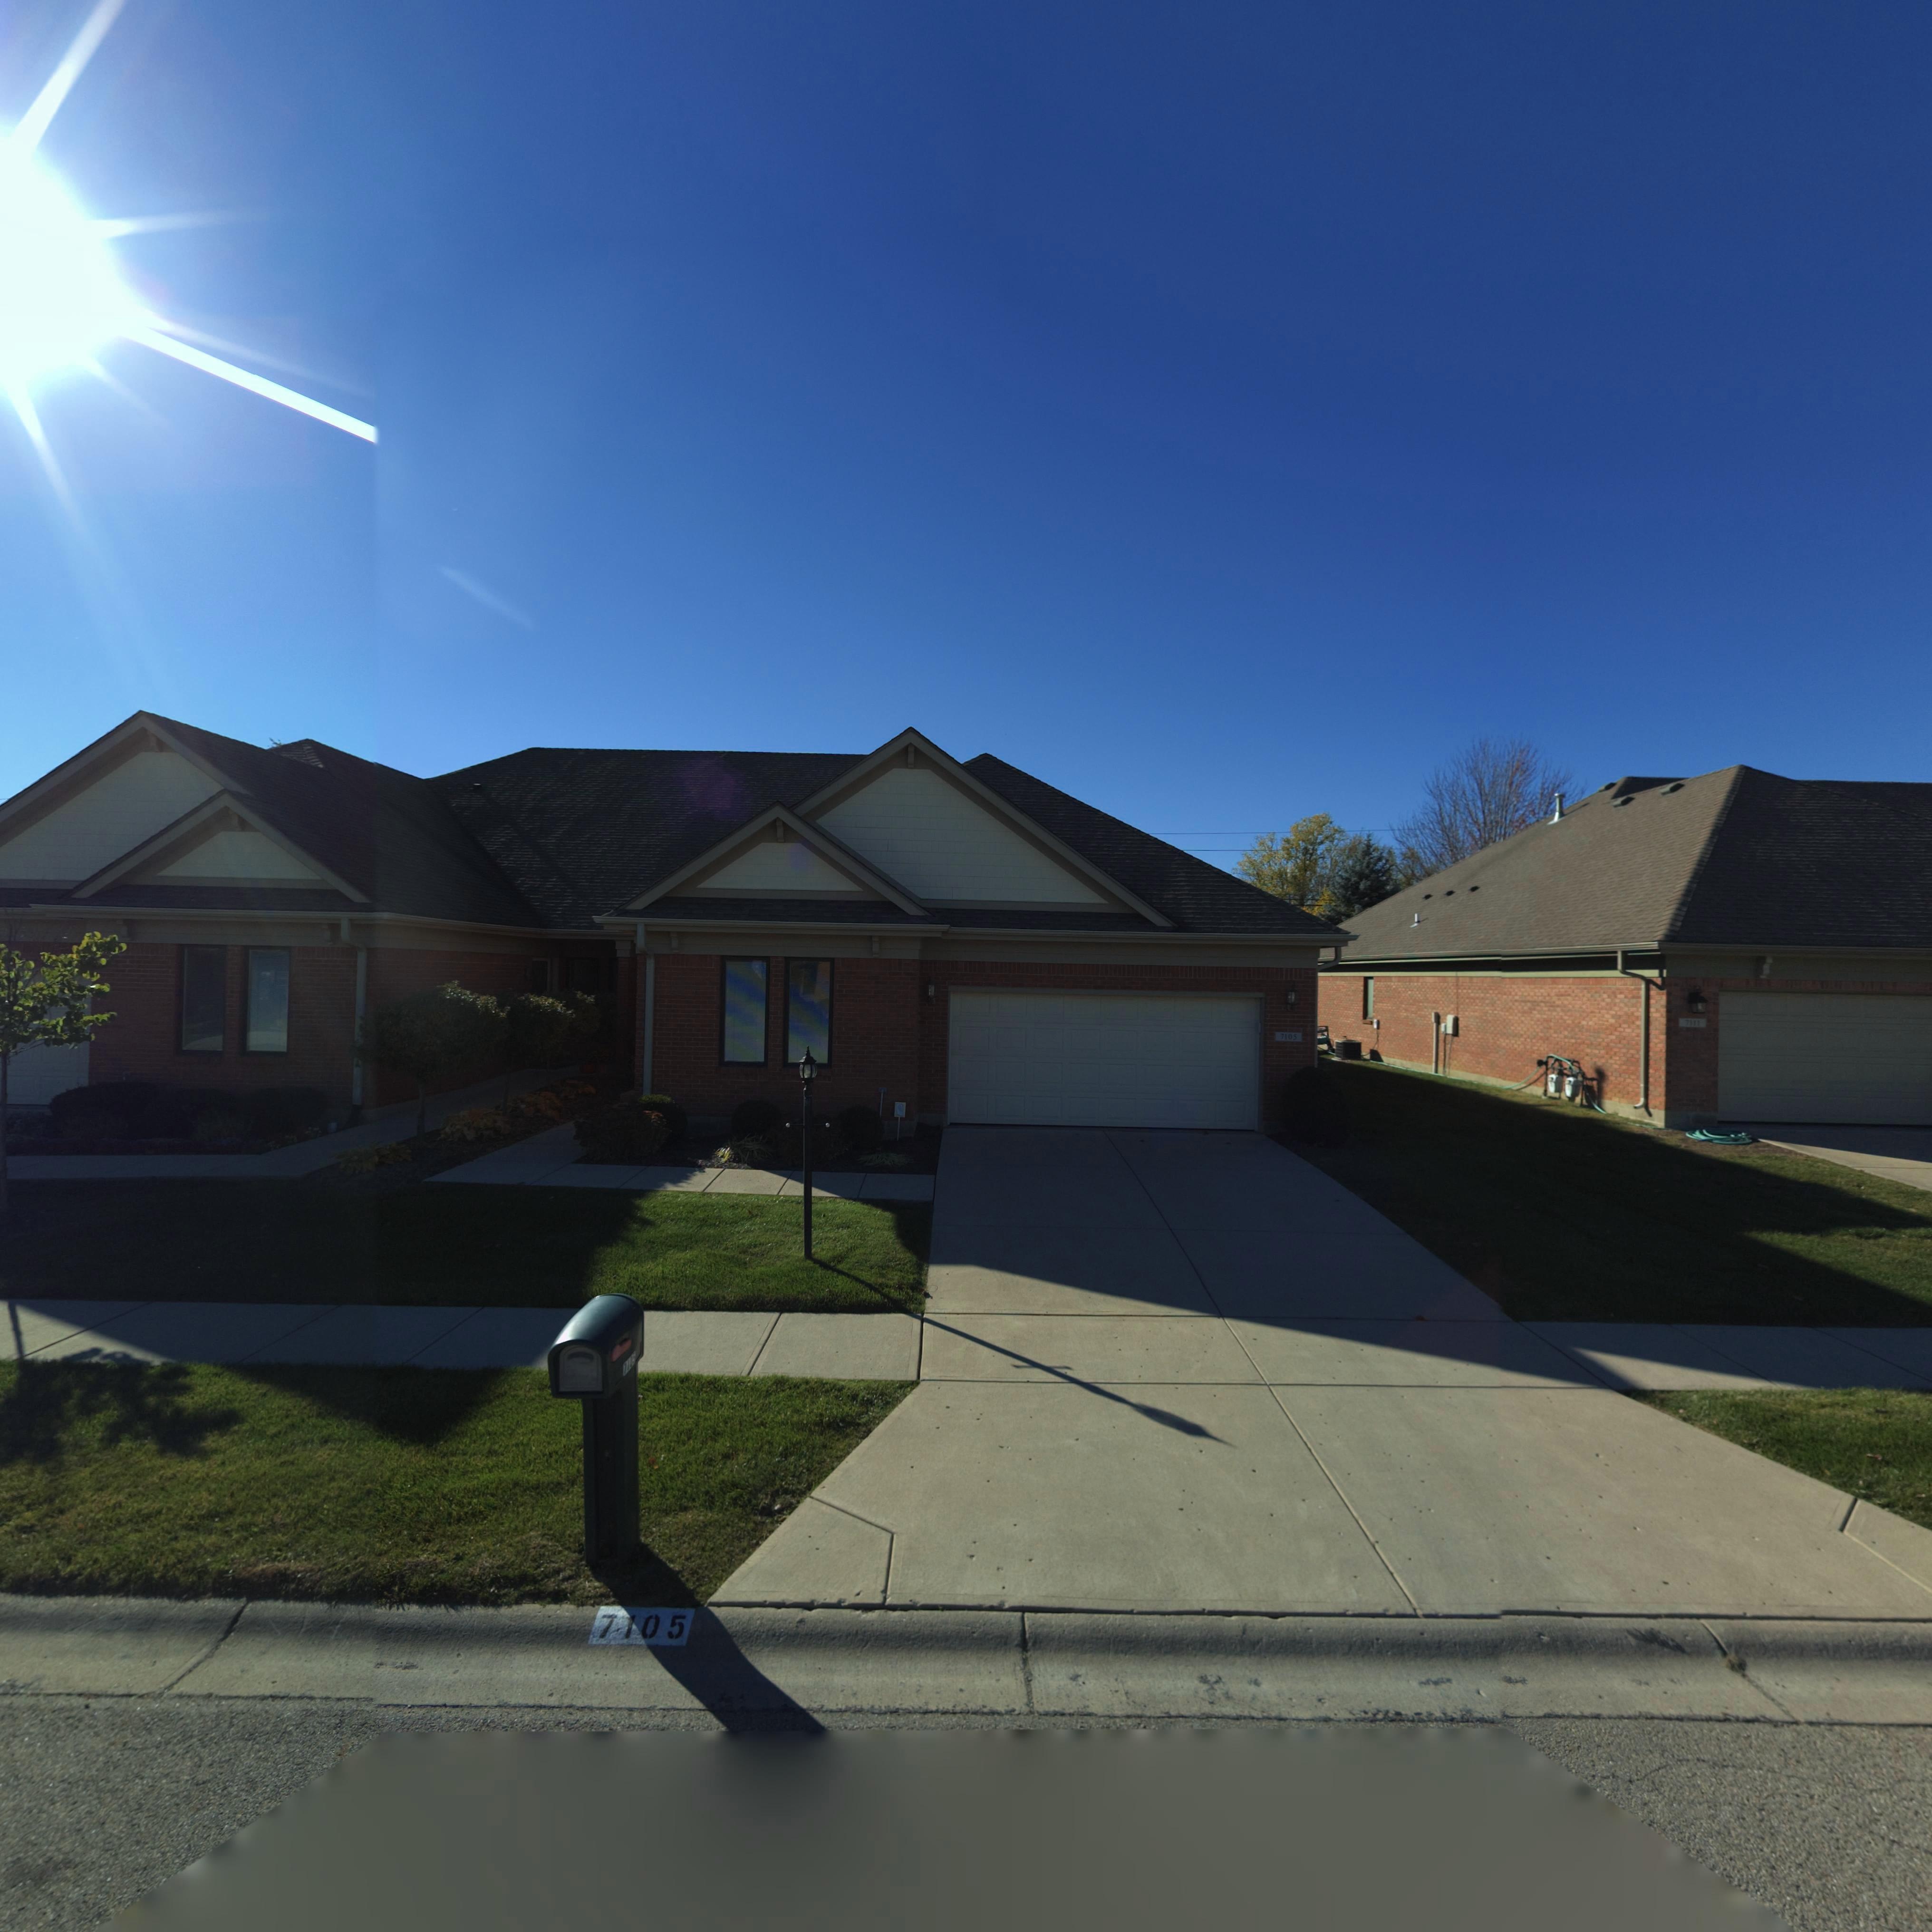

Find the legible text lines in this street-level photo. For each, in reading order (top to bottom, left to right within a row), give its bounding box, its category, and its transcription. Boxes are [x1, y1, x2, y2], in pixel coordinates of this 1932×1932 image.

[1684, 1019, 1700, 1027] StreetNumber: 7111
[1280, 1033, 1297, 1041] StreetNumber: 7105
[622, 1351, 636, 1377] StreetNumber: 7105
[597, 1613, 688, 1640] StreetNumber: 7105